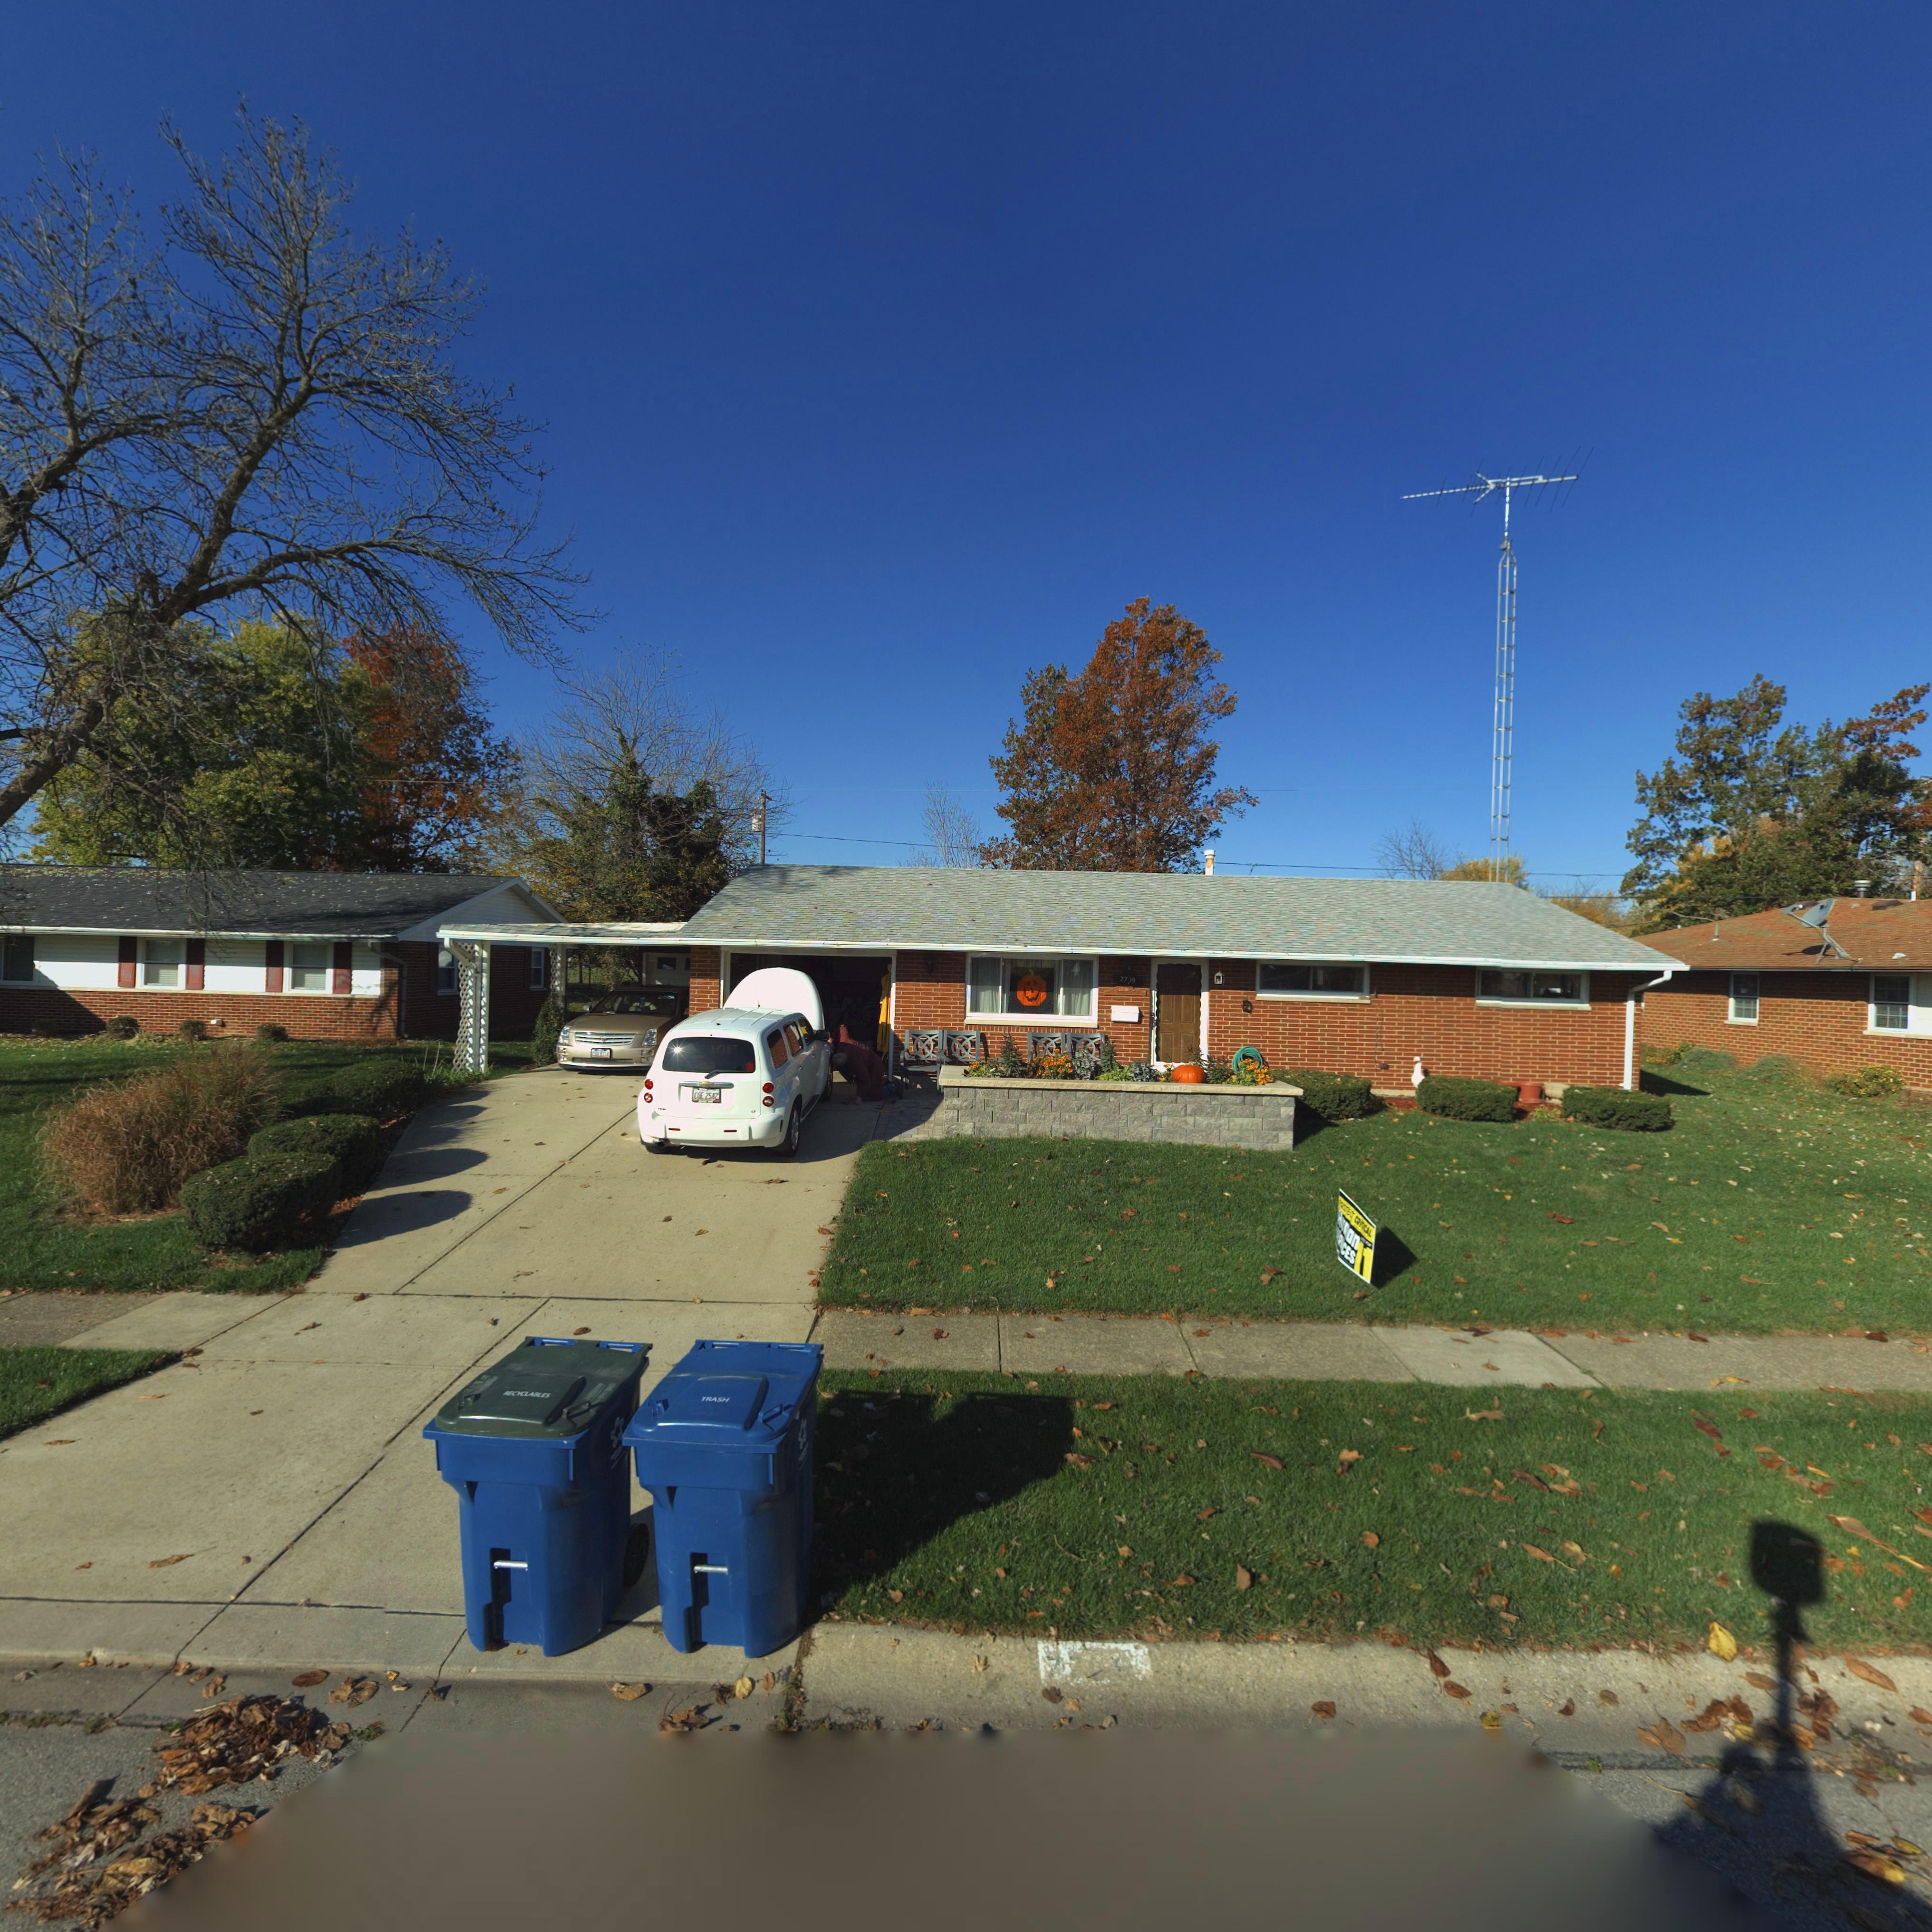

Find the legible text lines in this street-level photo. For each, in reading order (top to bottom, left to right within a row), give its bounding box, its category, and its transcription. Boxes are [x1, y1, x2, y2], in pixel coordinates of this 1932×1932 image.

[1119, 976, 1137, 985] StreetNumber: 77*9